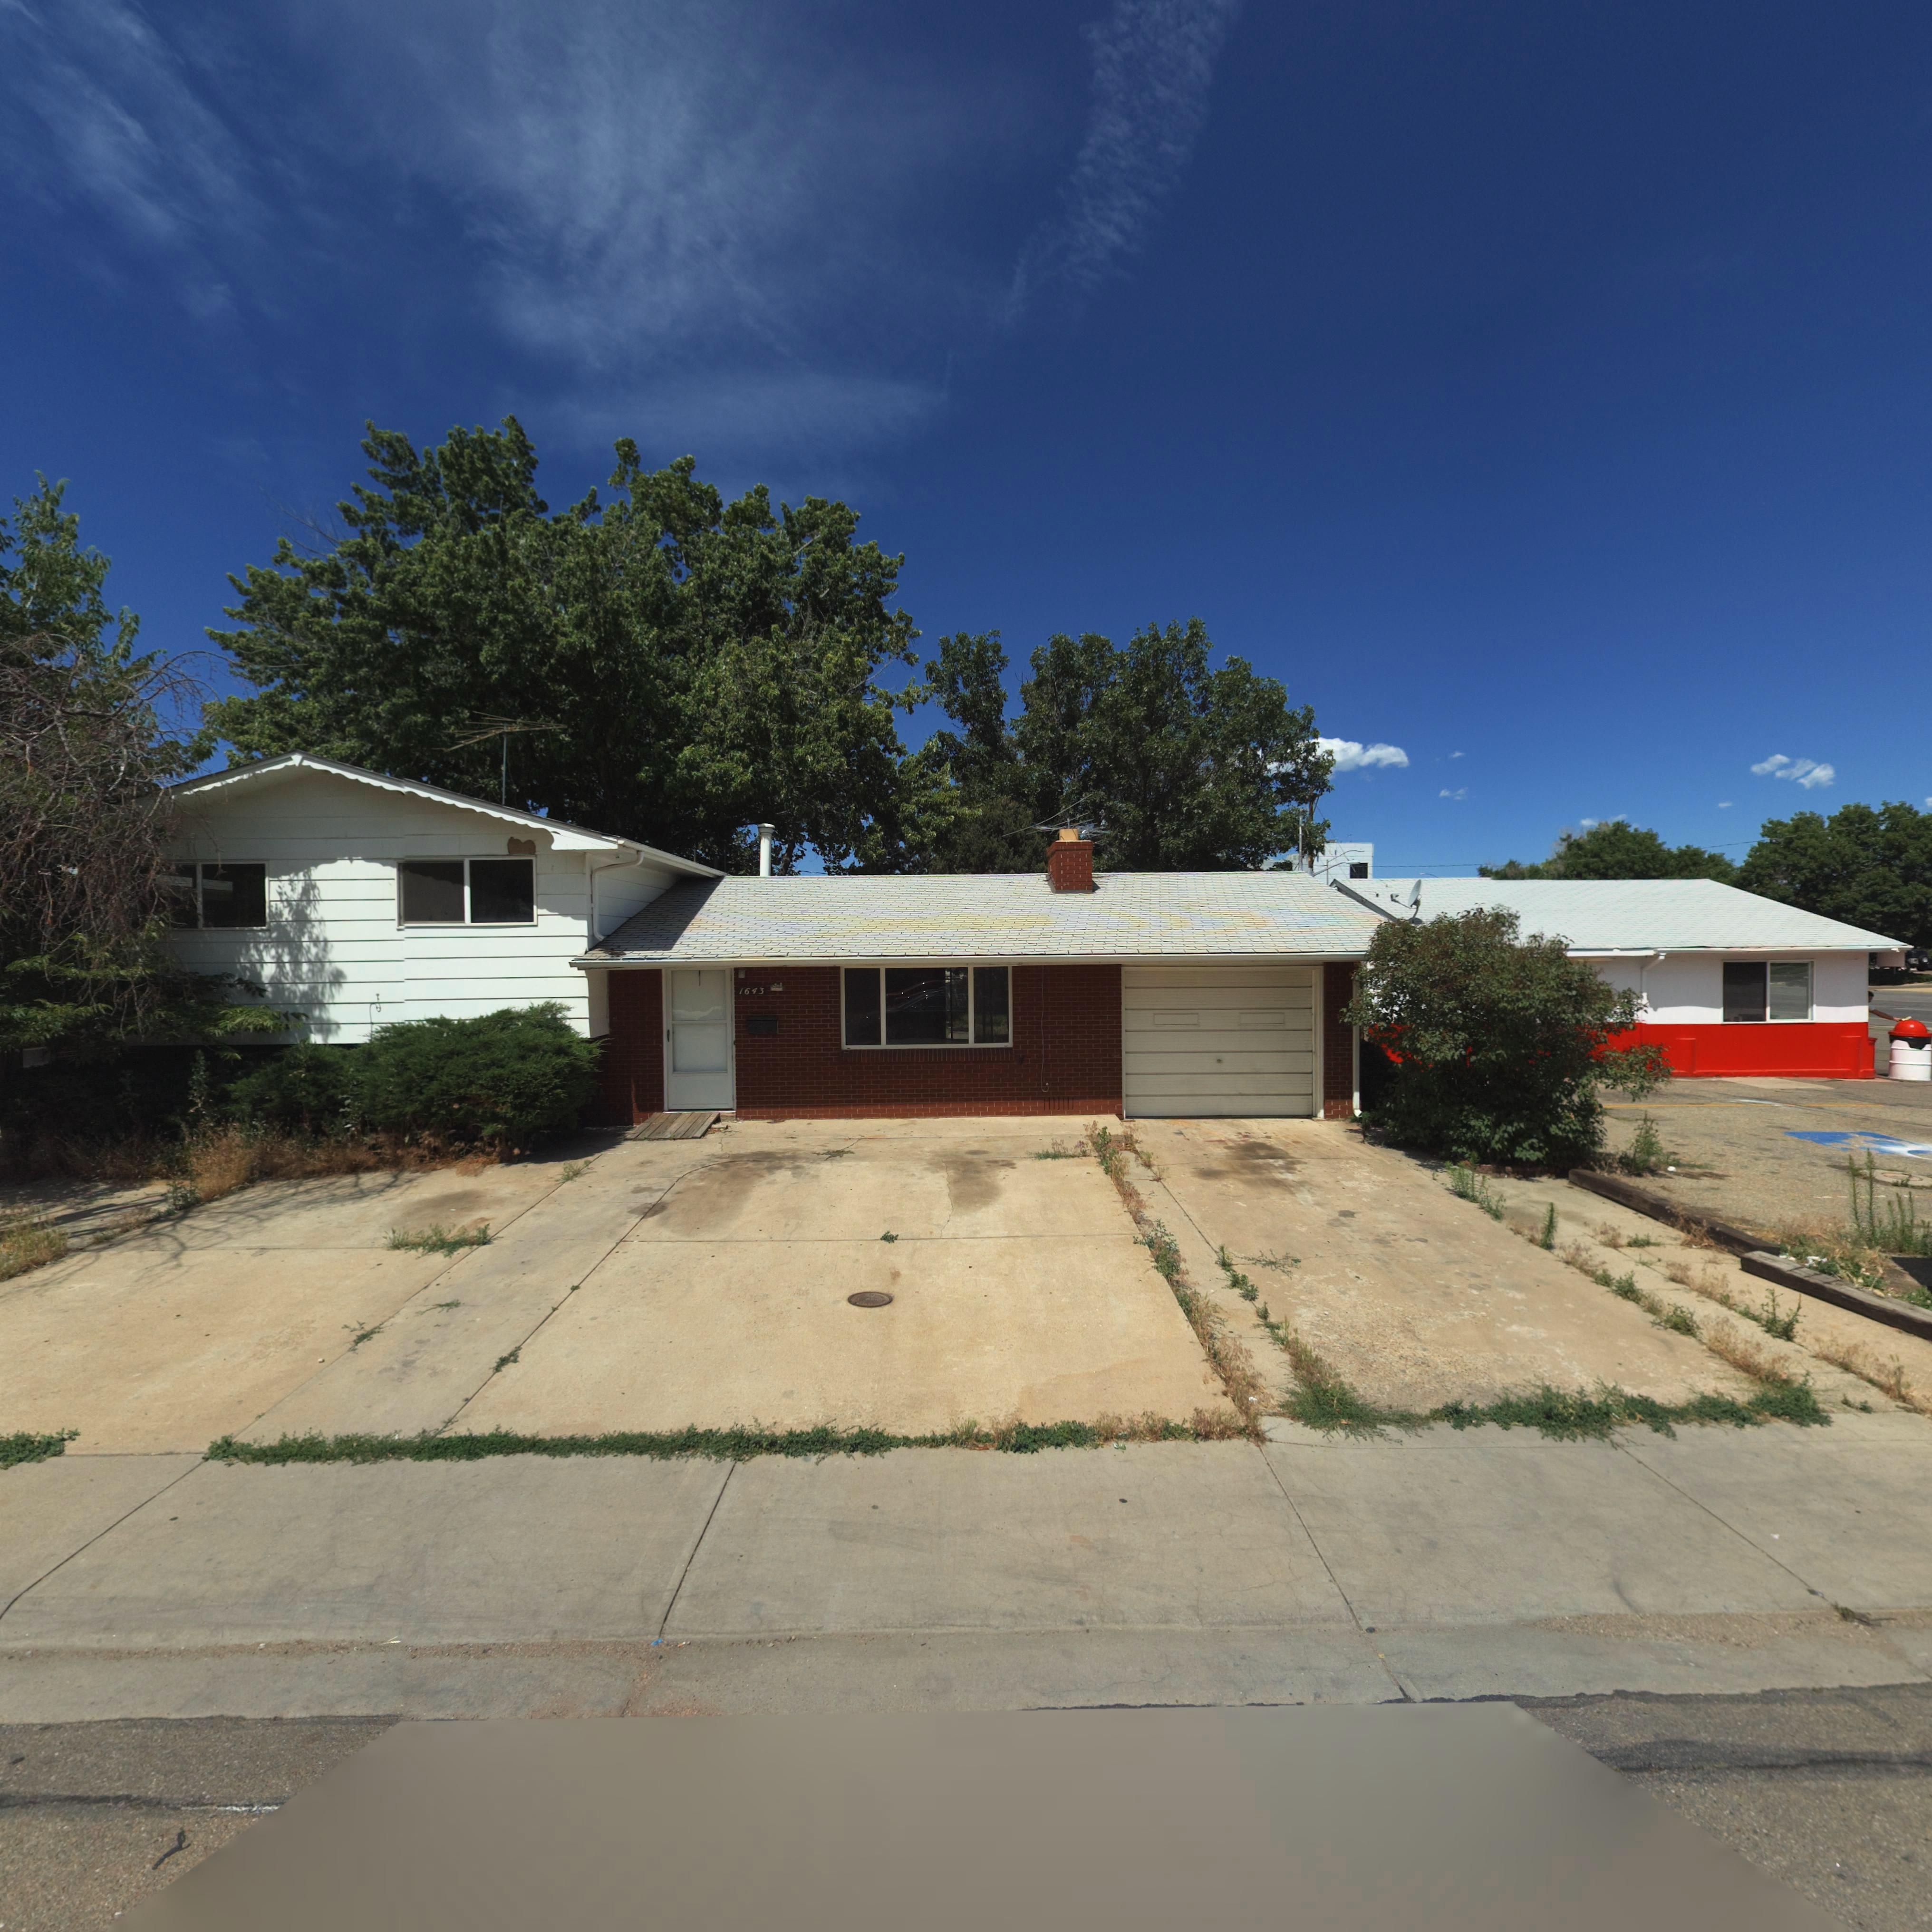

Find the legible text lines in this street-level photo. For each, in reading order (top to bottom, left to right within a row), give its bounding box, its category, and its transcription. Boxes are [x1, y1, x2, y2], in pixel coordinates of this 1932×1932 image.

[738, 987, 764, 995] StreetNumber: 1643